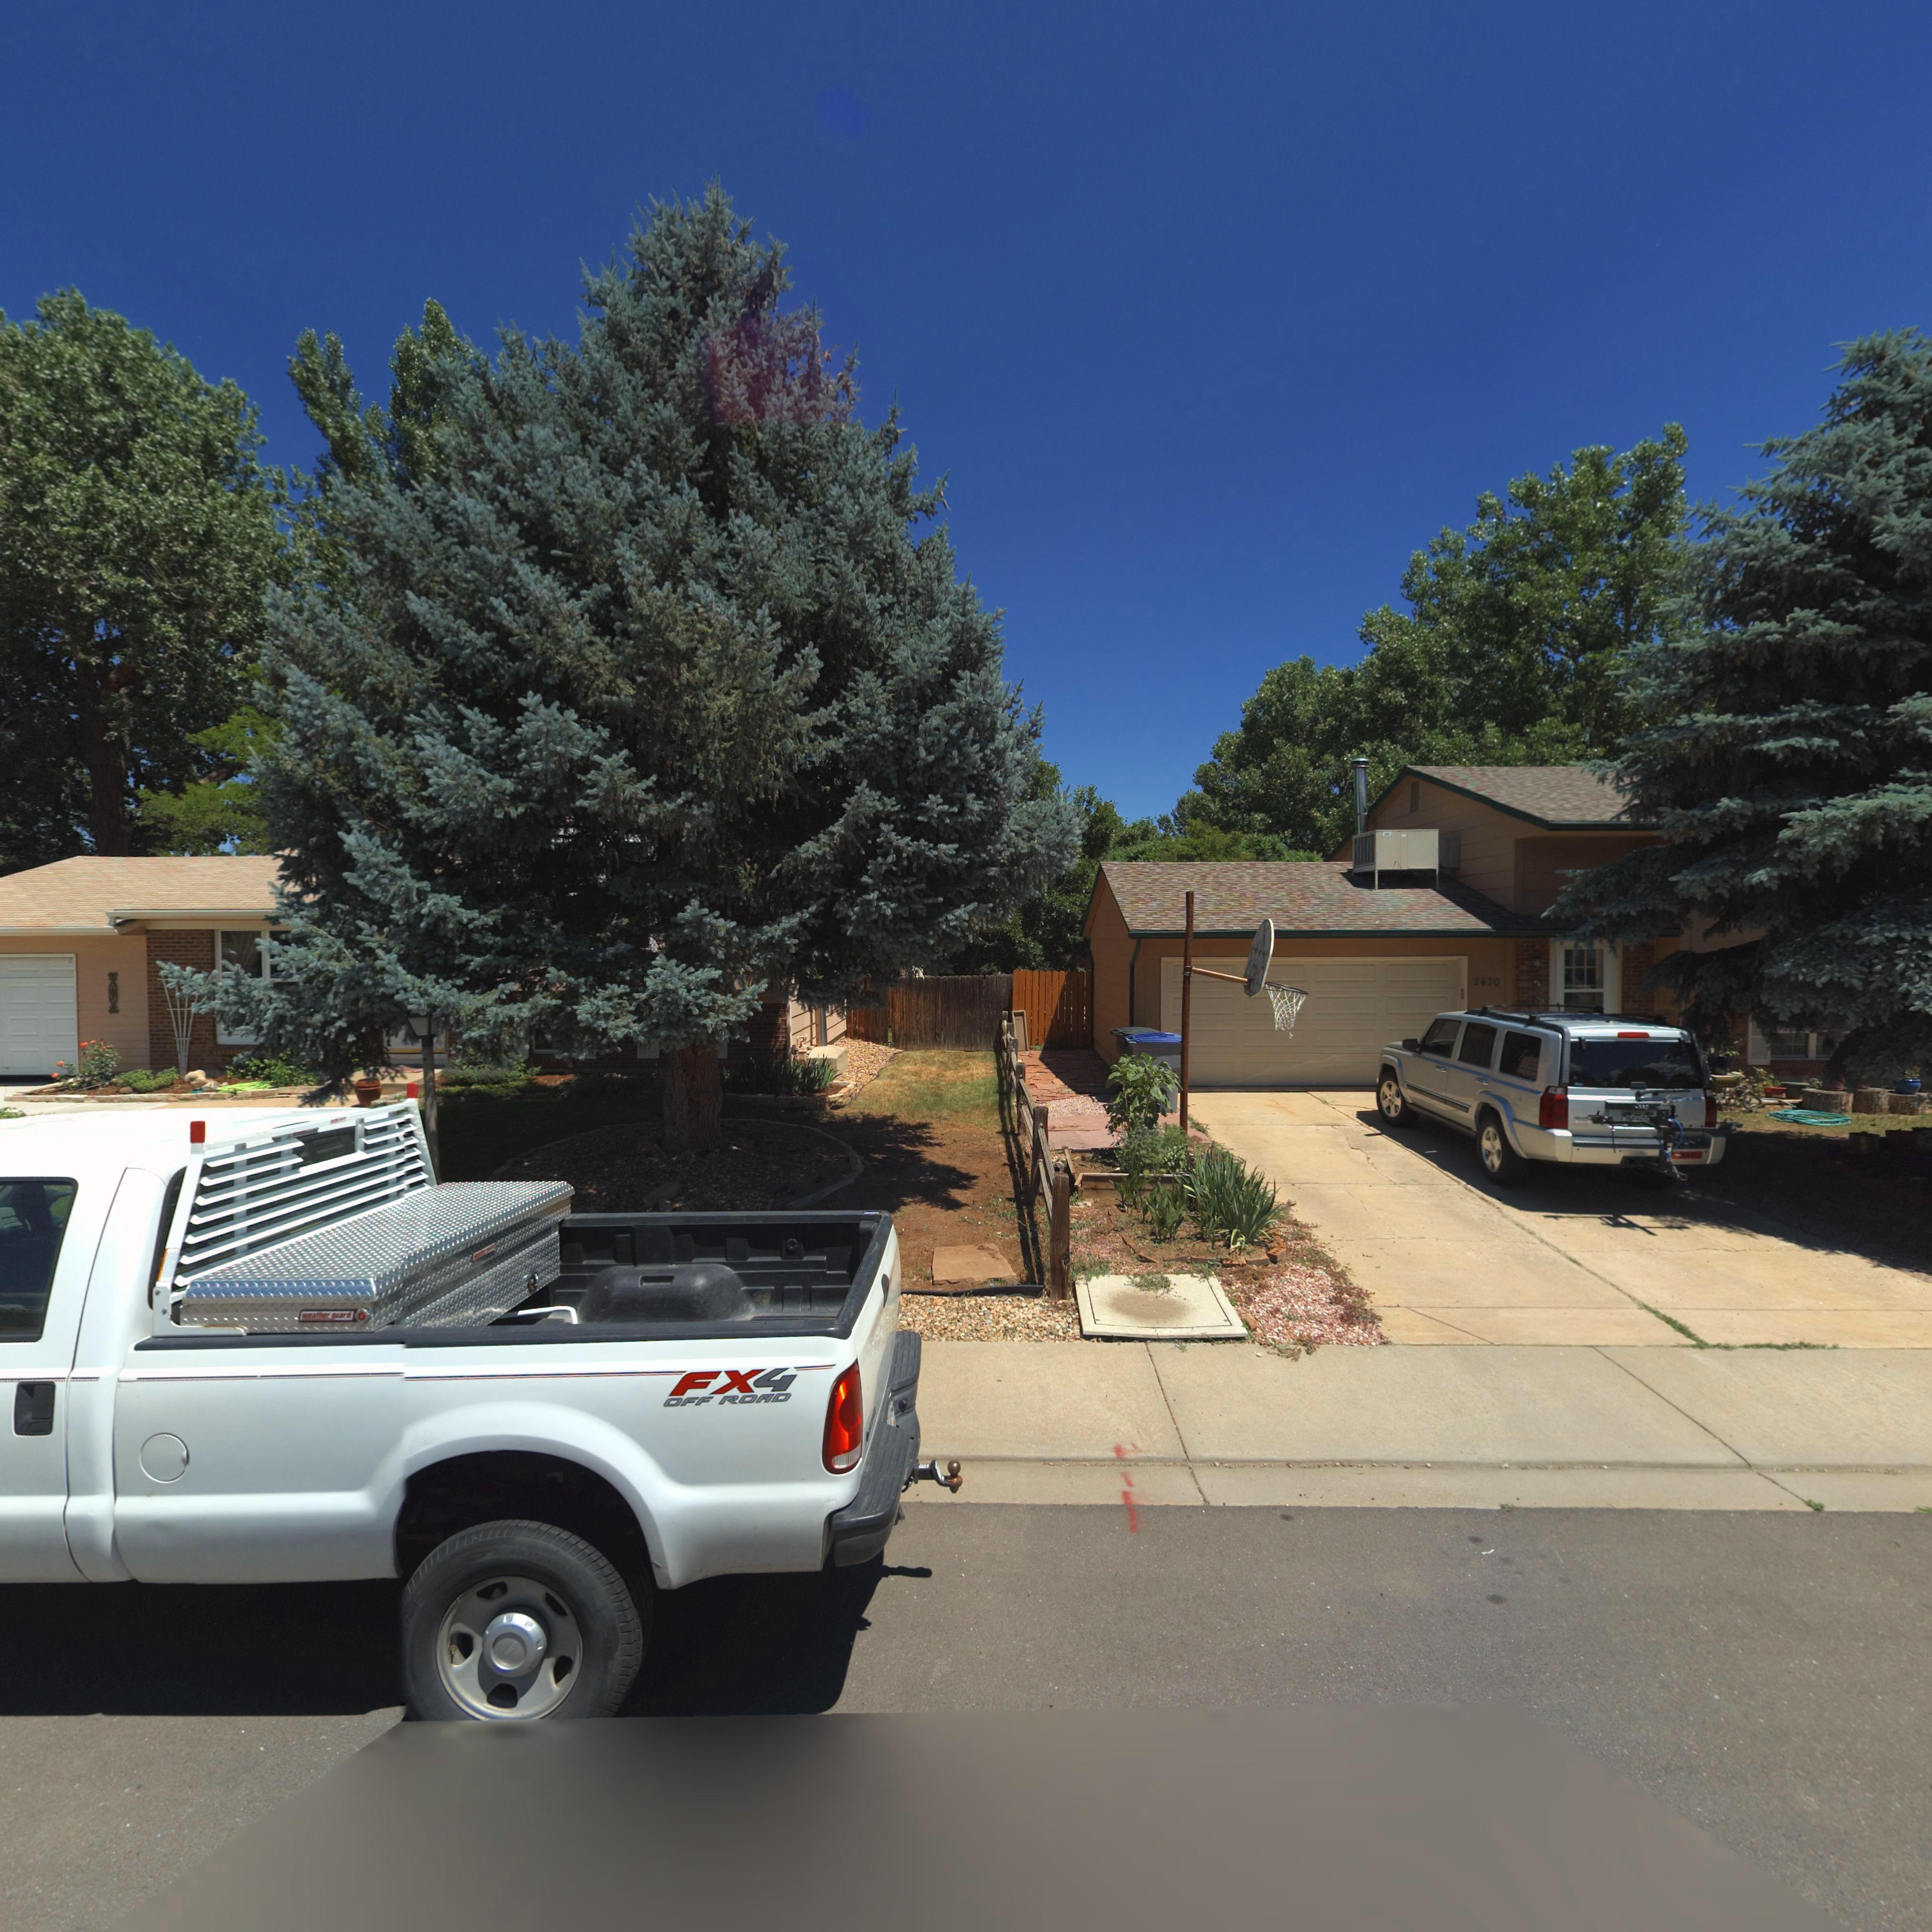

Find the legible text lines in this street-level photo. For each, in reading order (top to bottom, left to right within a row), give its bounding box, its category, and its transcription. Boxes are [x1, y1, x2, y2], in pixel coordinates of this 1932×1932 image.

[1473, 976, 1500, 986] StreetNumber: 2430